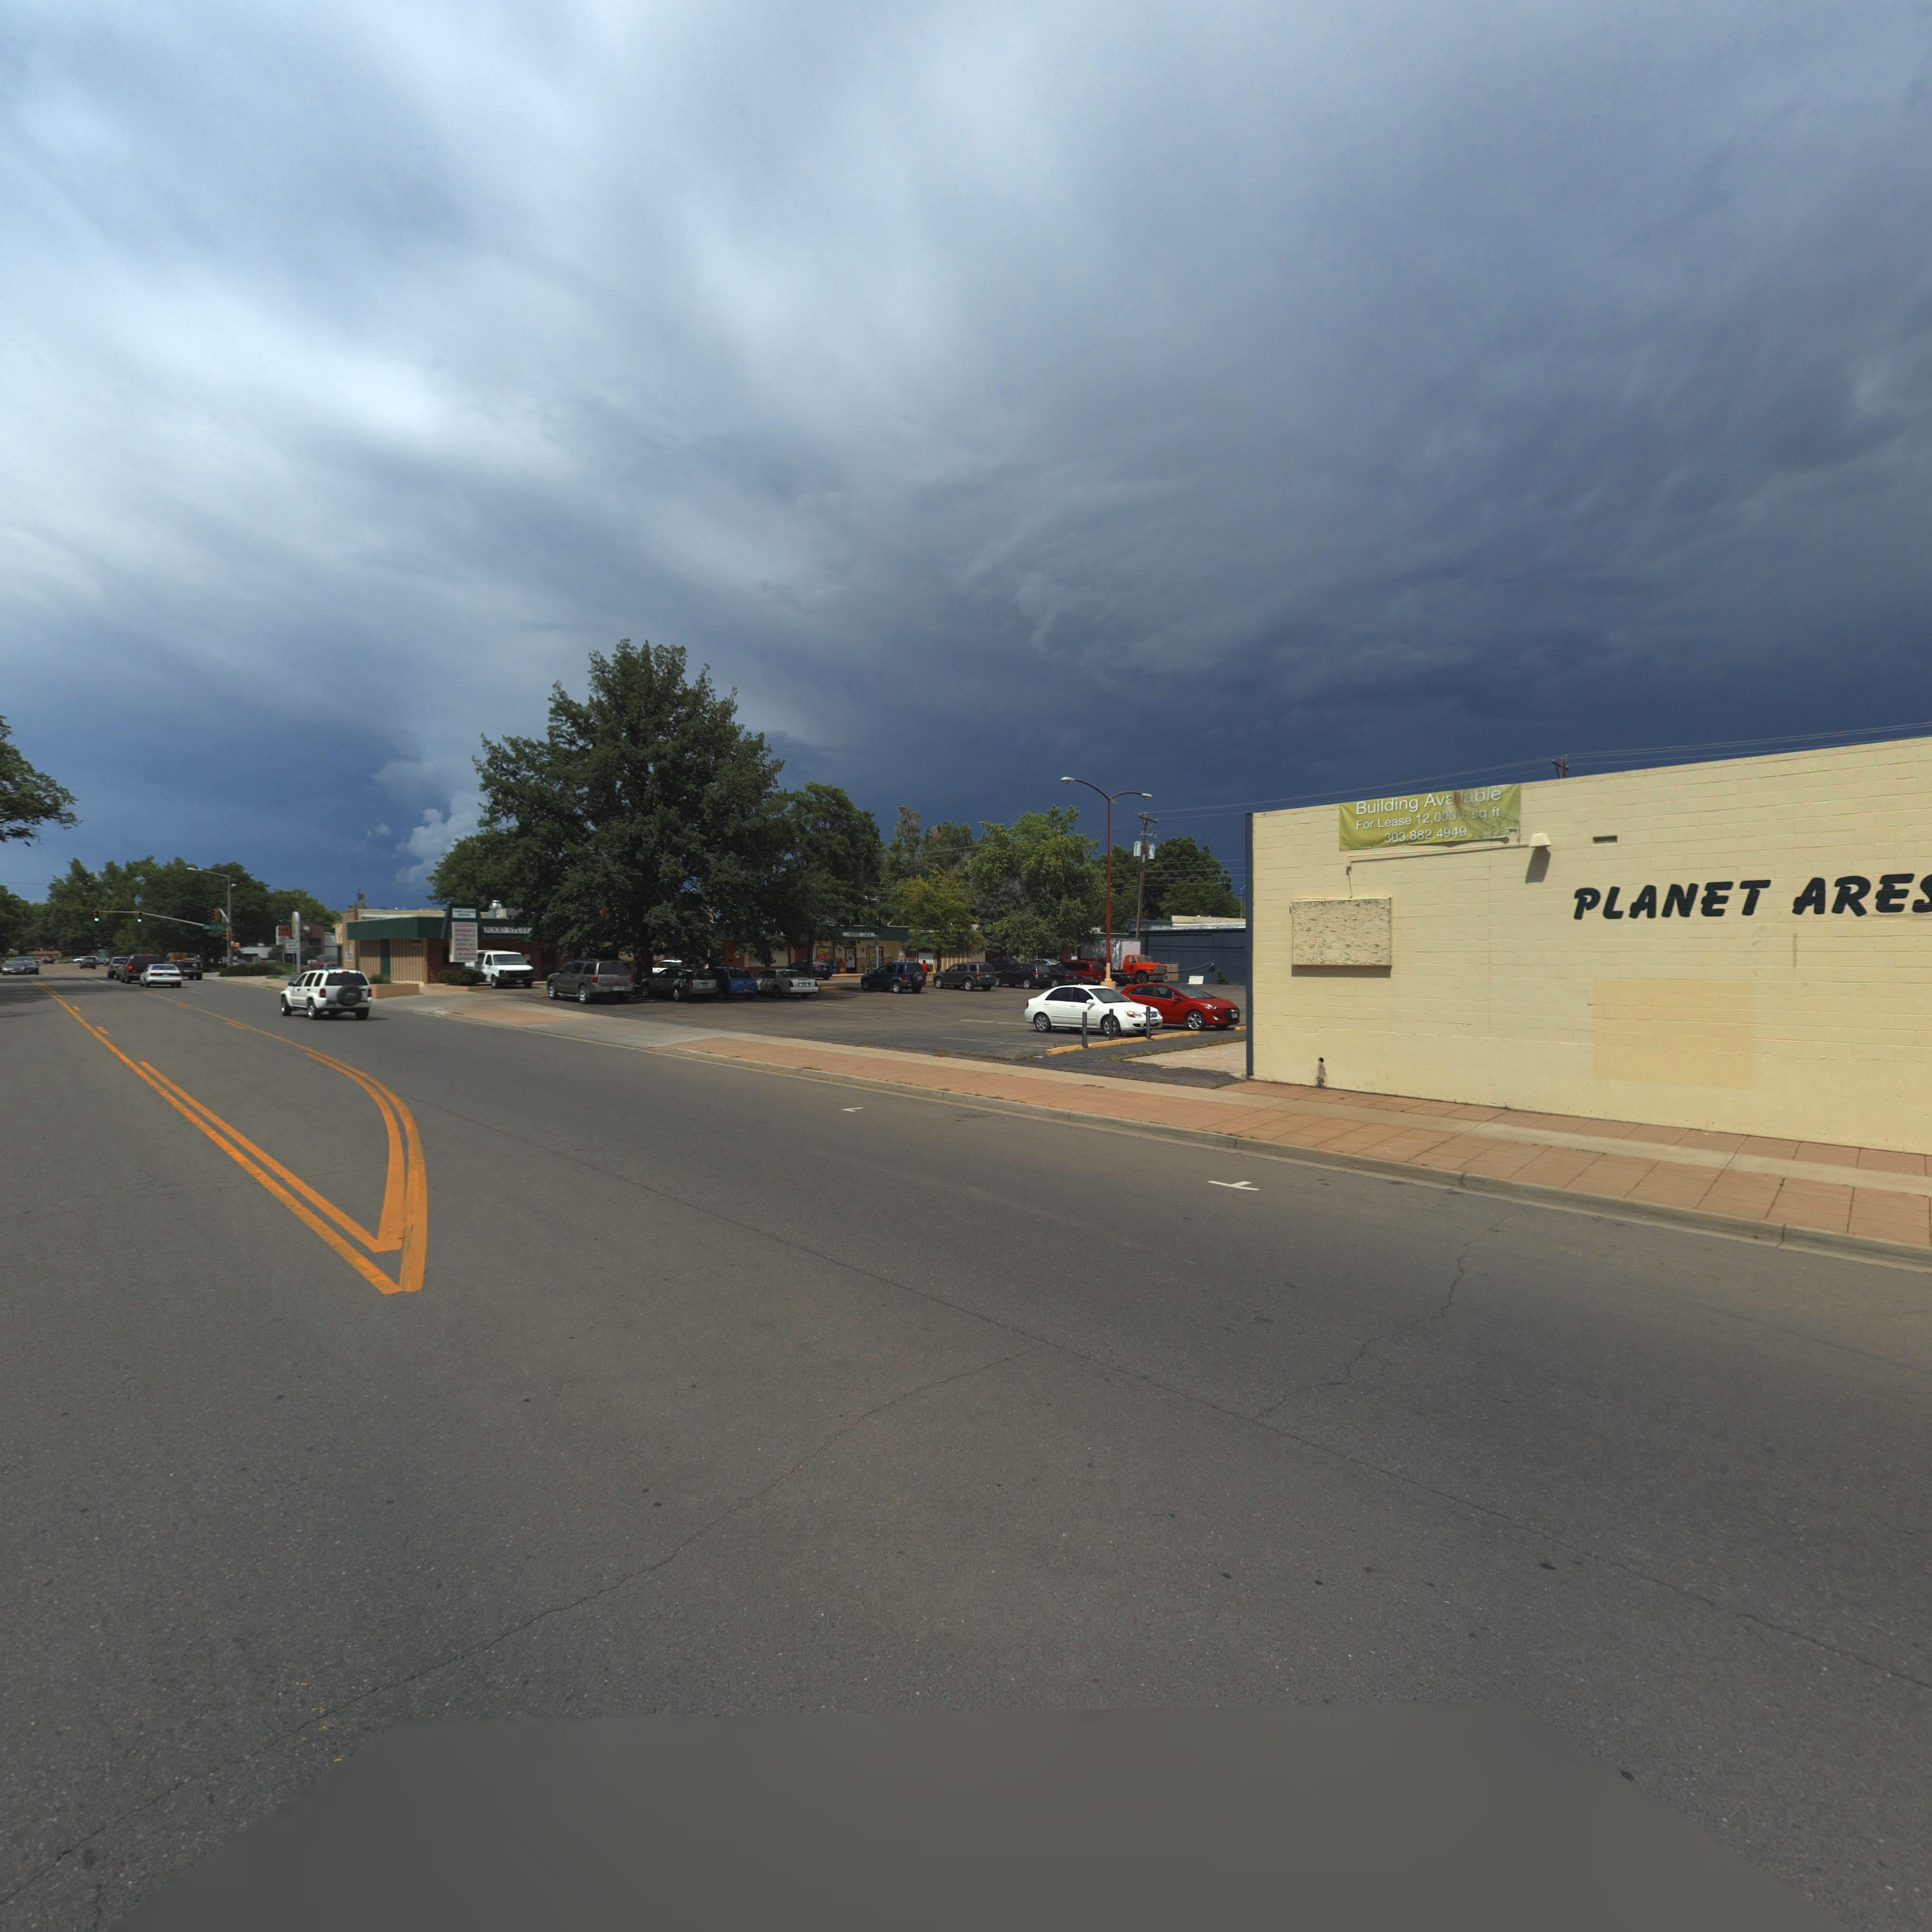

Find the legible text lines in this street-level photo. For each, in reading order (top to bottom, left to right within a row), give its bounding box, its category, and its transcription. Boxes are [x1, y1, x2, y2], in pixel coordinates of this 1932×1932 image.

[1571, 872, 1917, 921] BusinessName: PLANET ARE
[211, 924, 225, 929] StreetName: 9TH AV